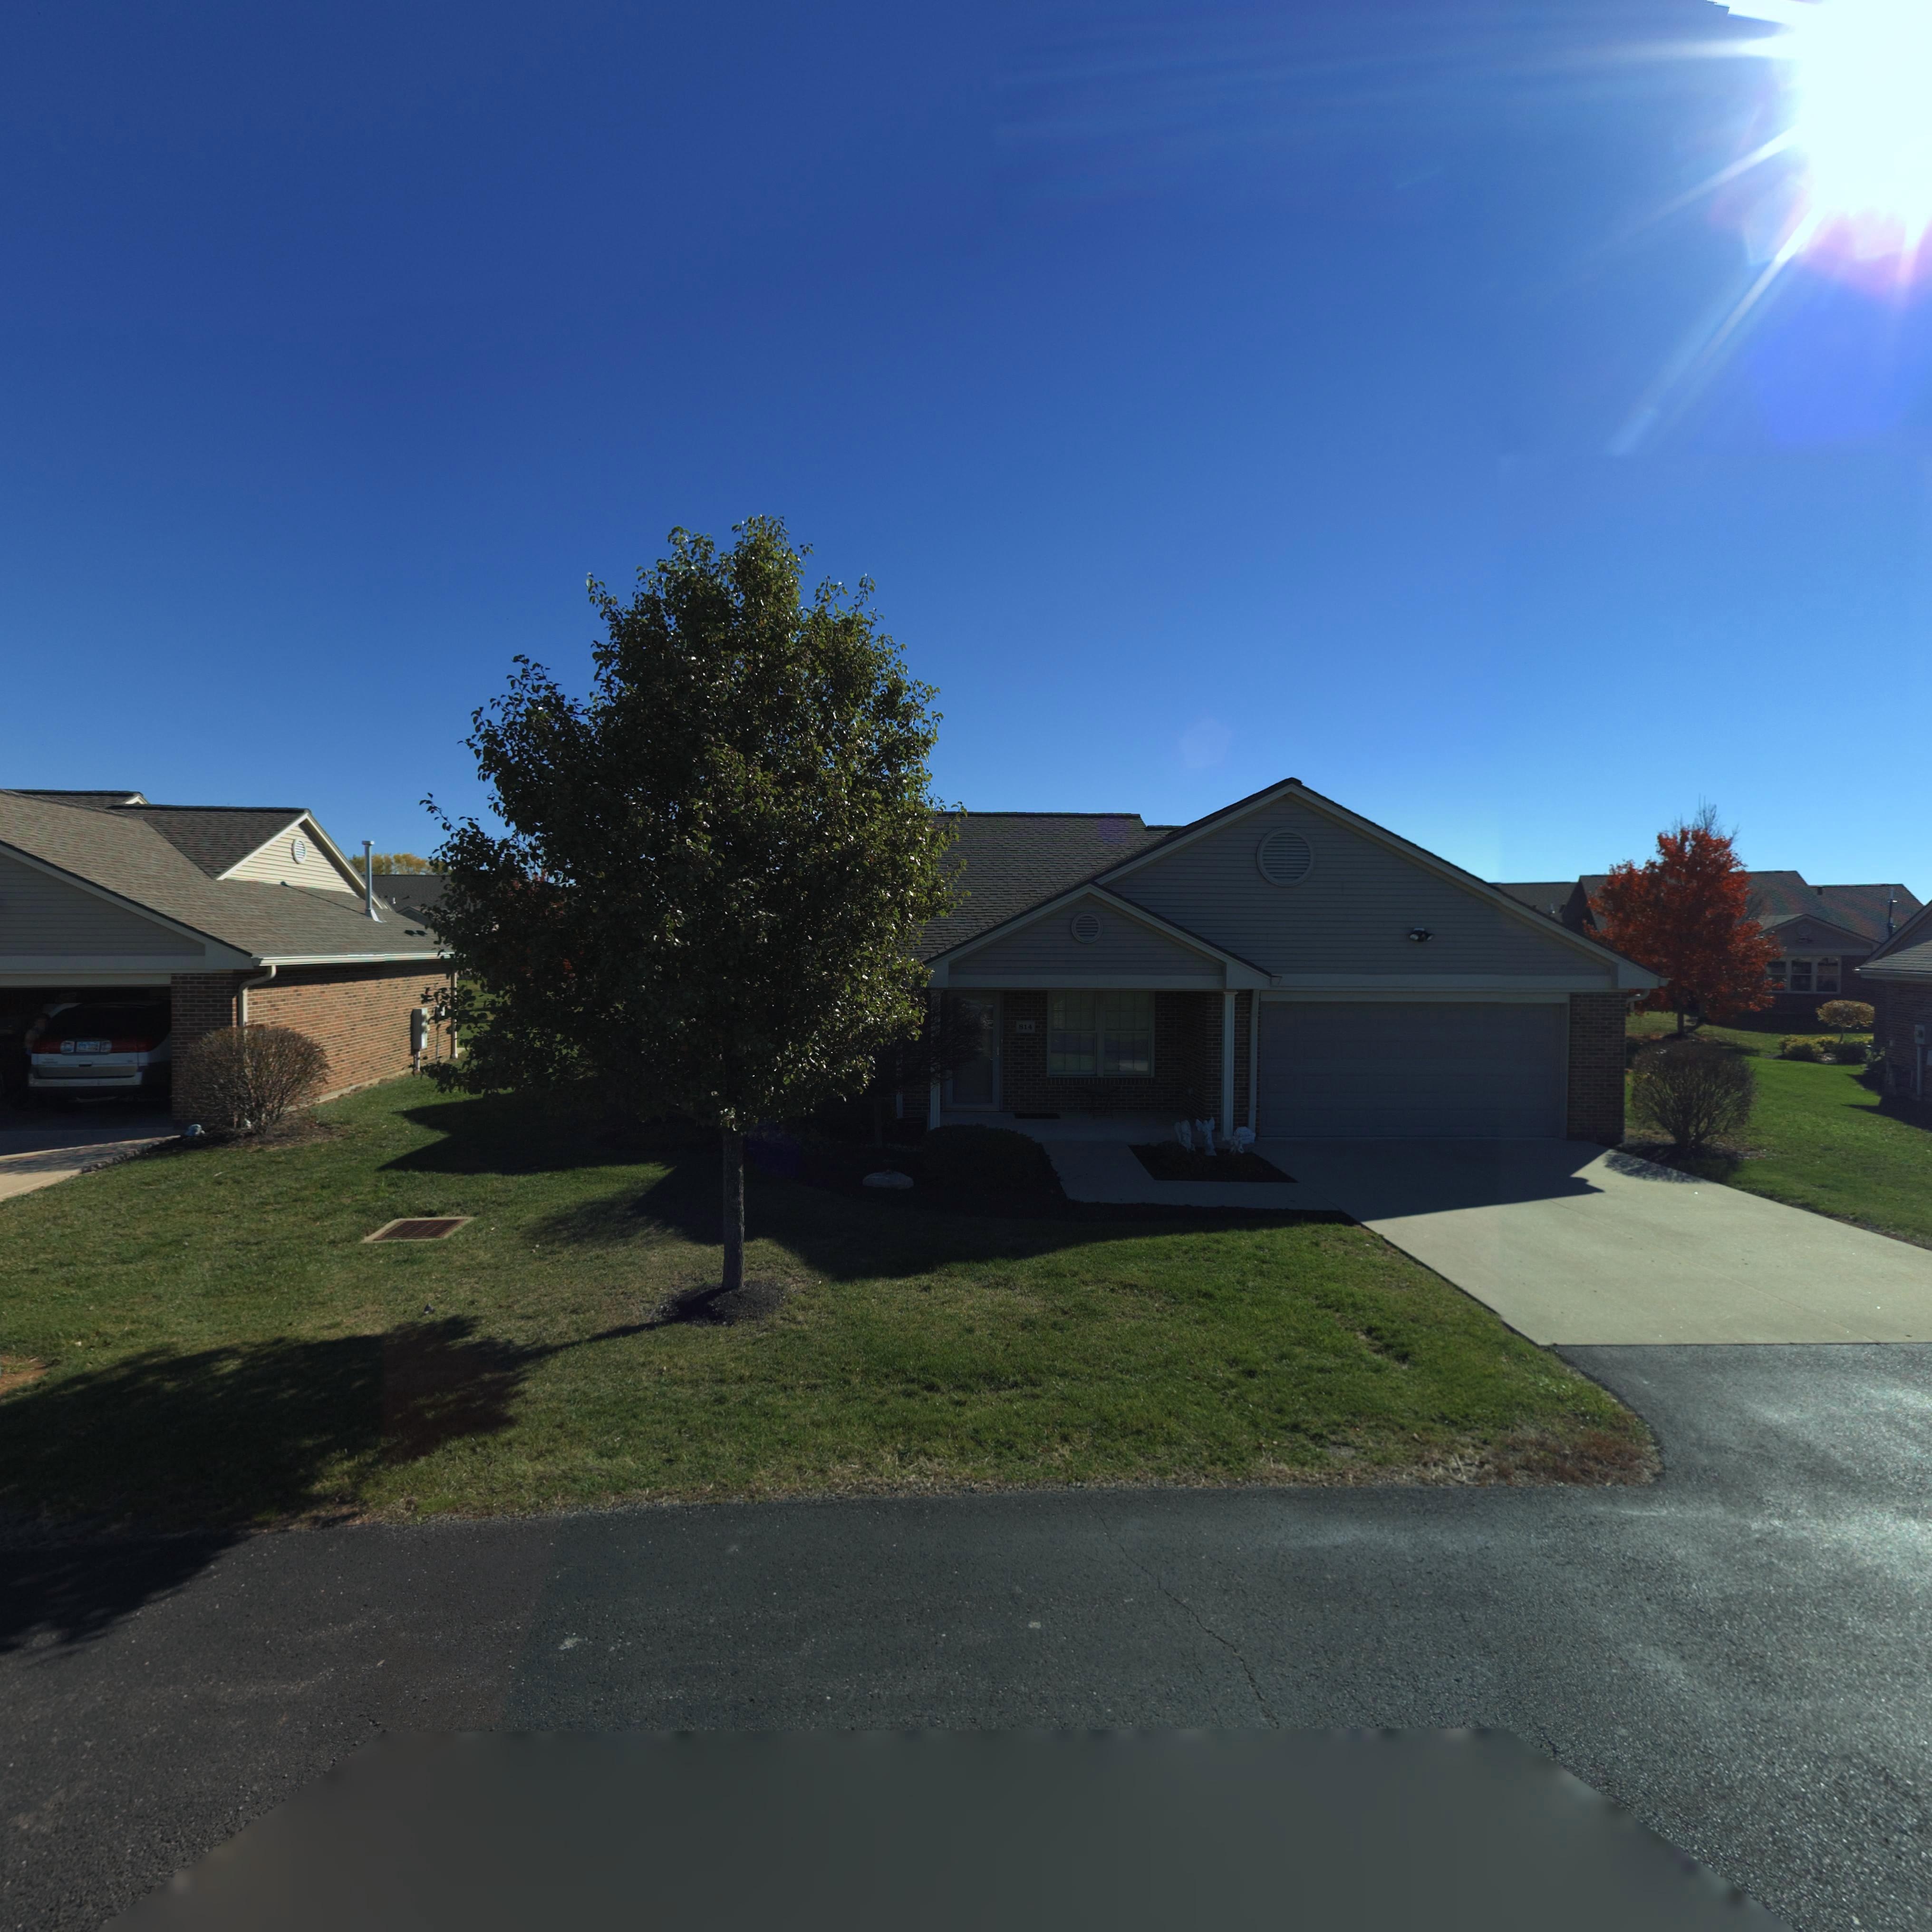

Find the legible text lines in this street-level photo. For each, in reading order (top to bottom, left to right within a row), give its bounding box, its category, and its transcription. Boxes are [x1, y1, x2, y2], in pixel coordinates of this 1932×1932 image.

[1019, 1024, 1033, 1030] StreetNumber: 814